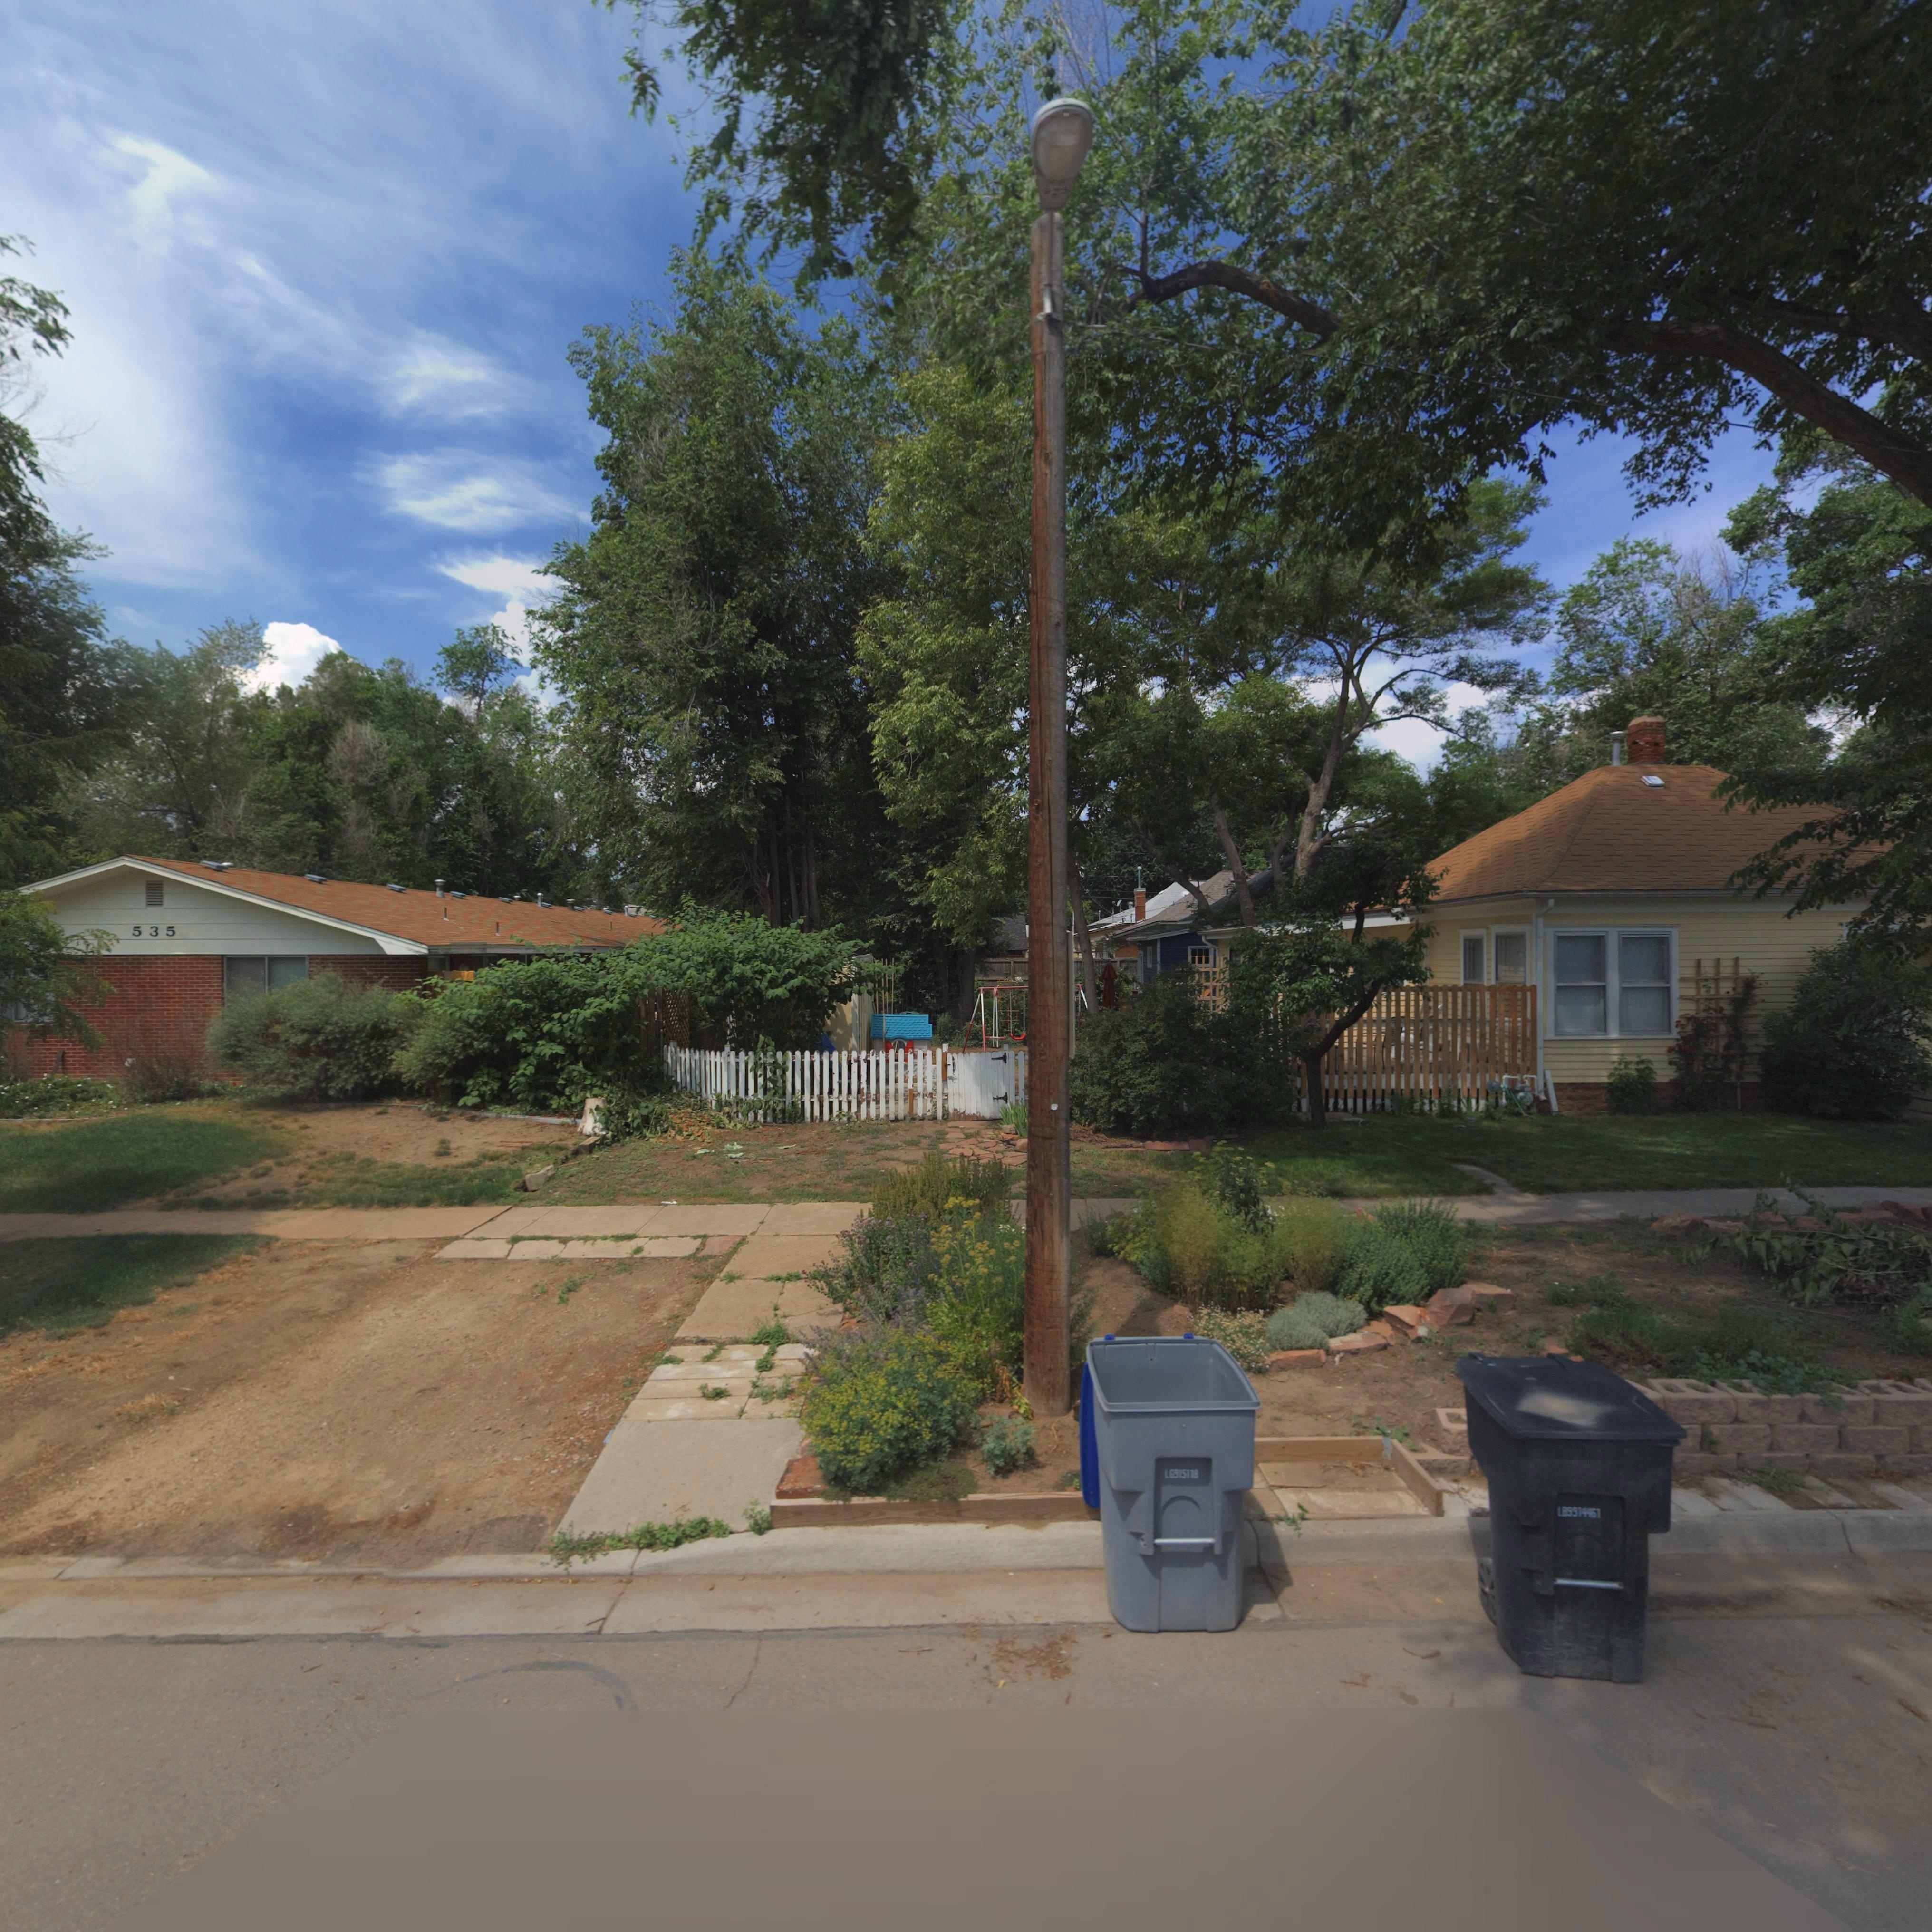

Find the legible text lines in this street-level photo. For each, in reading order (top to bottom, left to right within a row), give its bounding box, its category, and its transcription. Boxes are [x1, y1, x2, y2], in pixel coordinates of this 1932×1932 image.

[132, 925, 175, 937] StreetNumber: 535